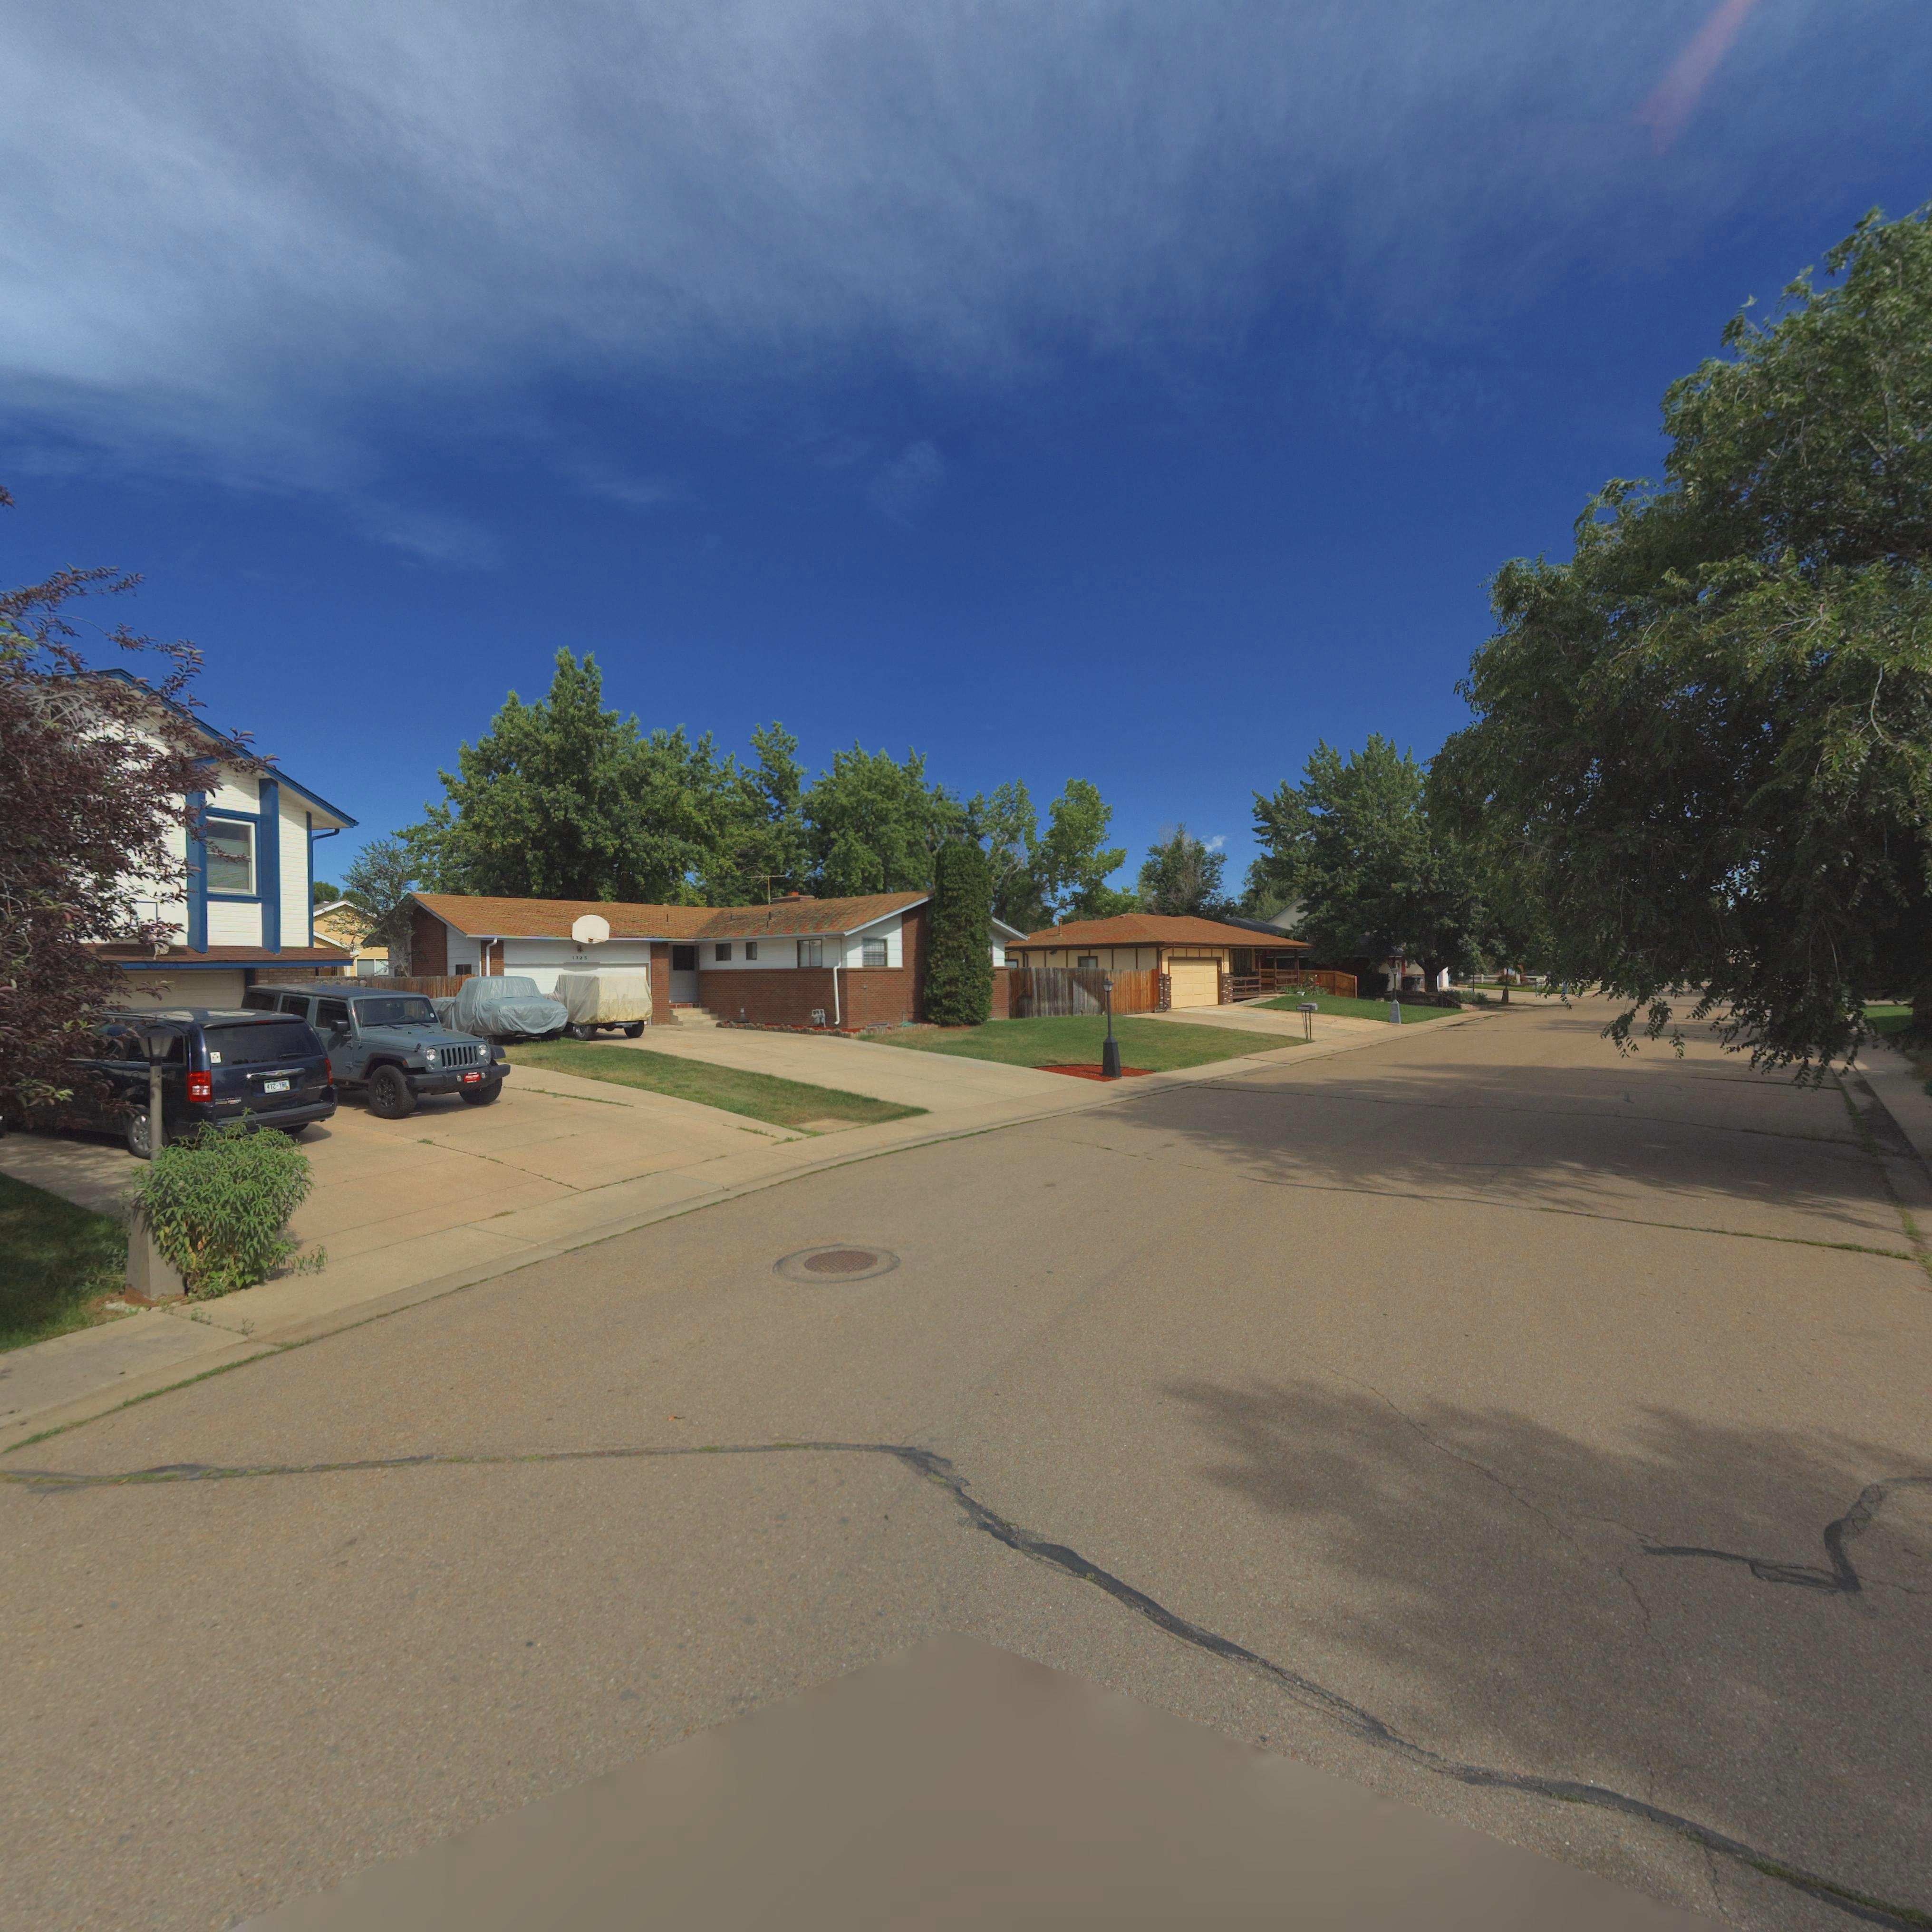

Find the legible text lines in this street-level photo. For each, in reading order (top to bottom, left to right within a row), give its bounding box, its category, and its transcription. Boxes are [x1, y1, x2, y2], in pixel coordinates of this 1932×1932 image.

[572, 956, 588, 960] StreetNumber: 1325